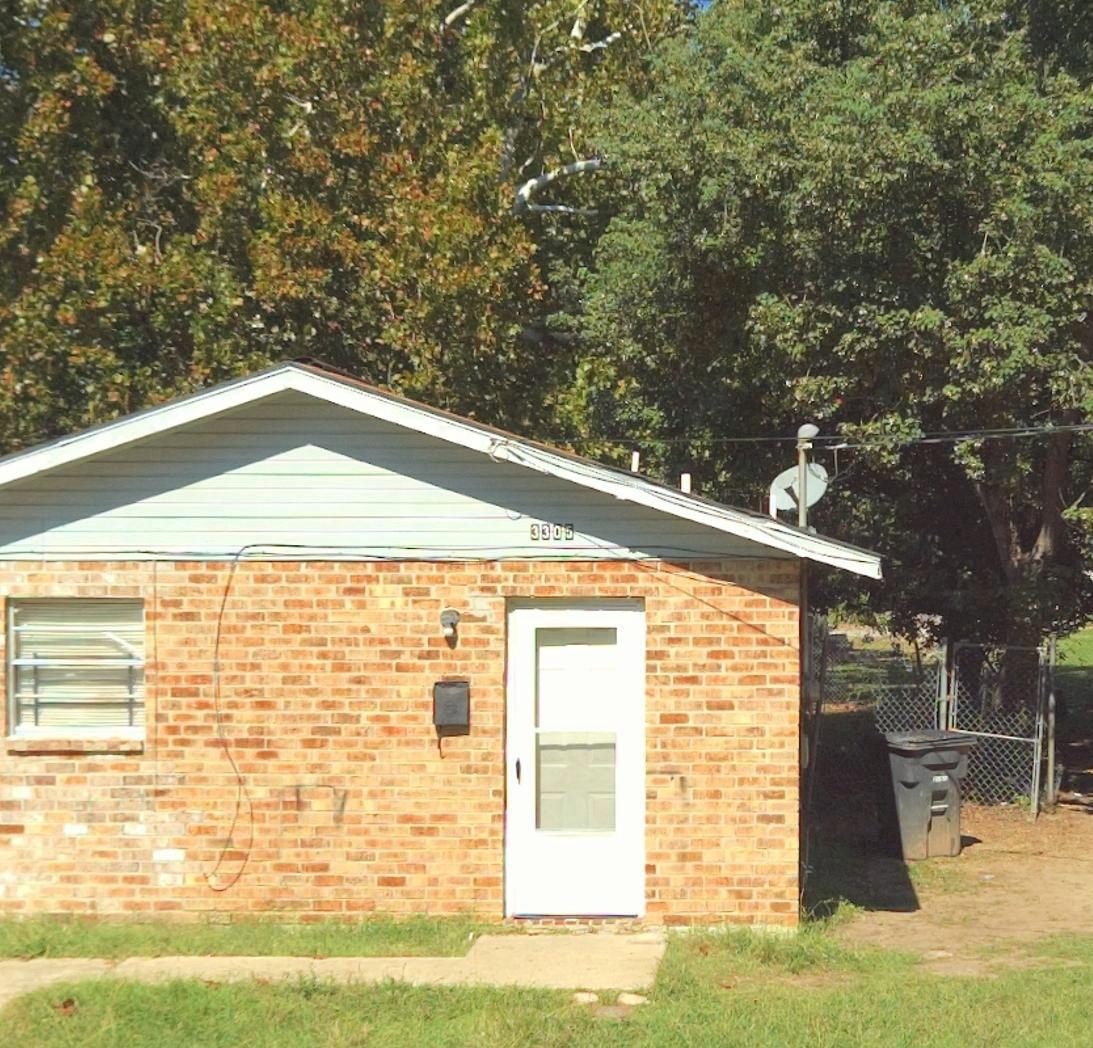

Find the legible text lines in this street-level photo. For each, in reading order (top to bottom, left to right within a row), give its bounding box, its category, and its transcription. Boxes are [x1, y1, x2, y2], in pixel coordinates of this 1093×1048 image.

[531, 524, 574, 540] StreetNumber: 3305